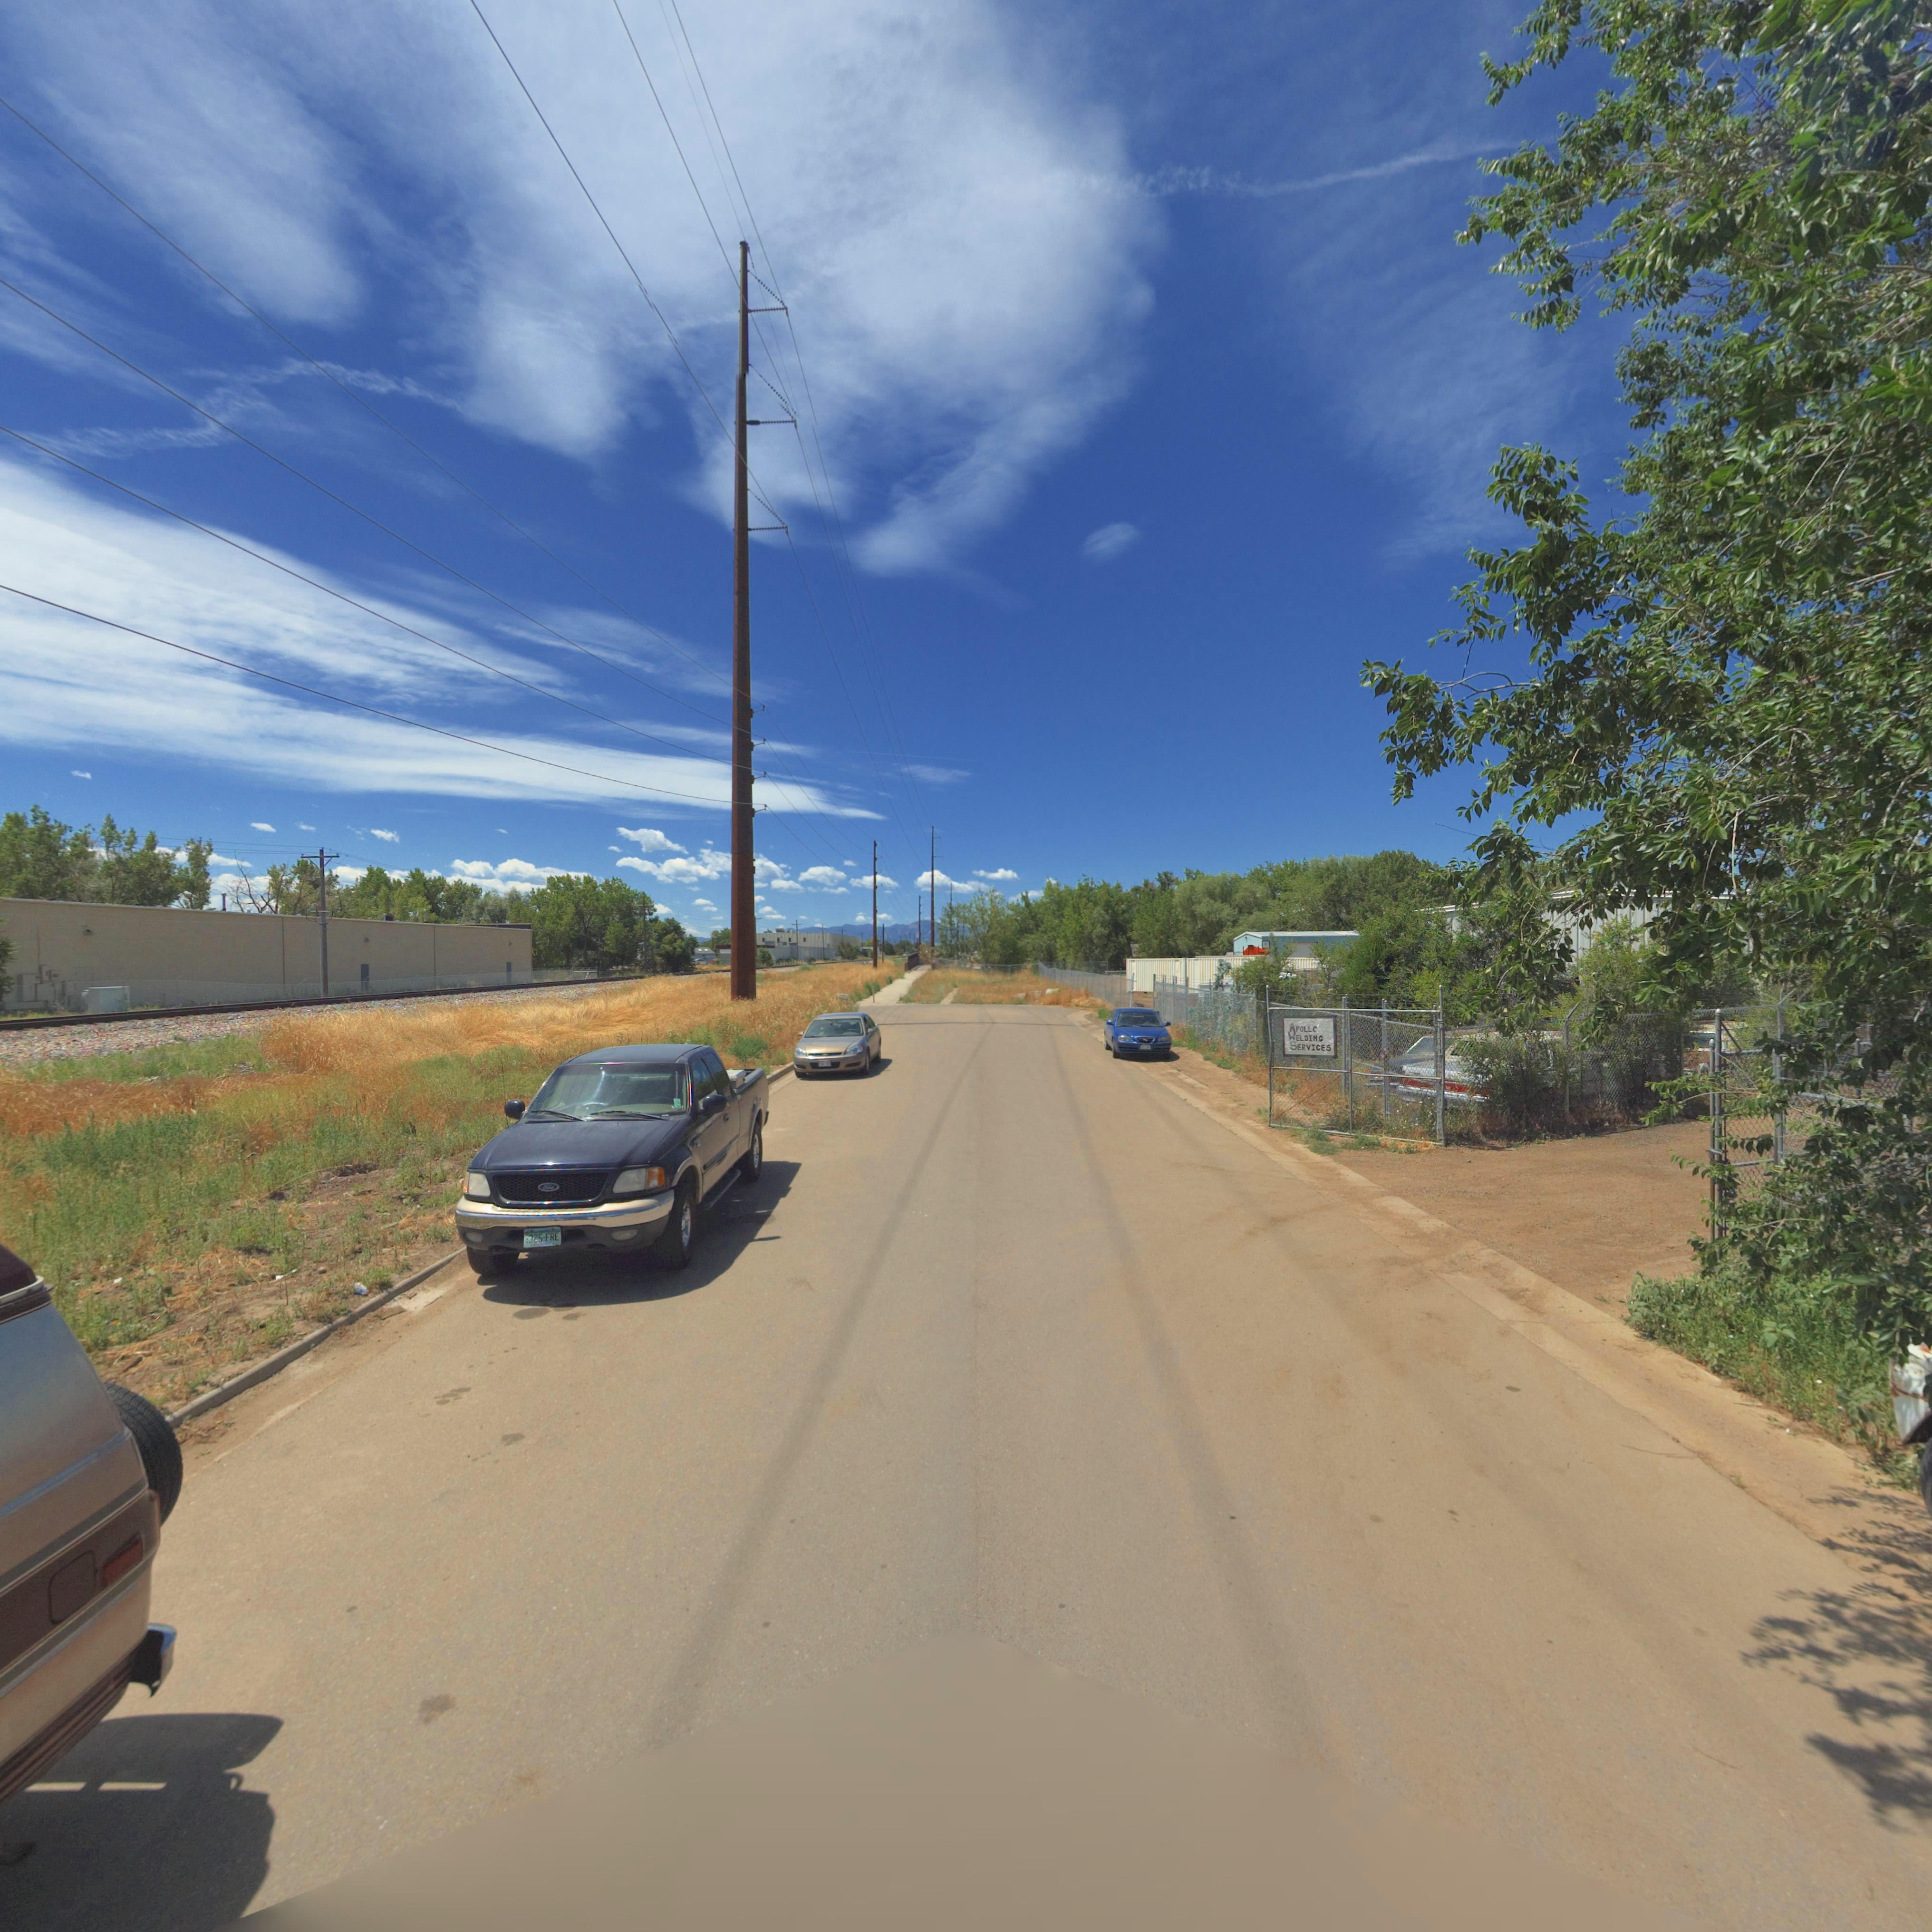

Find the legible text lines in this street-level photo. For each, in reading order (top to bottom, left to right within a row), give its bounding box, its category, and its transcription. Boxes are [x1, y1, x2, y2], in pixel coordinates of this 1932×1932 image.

[1288, 1022, 1317, 1033] BusinessName: APOLLC
[1287, 1032, 1324, 1042] BusinessName: WELDING
[1289, 1041, 1332, 1051] BusinessName: SERVICES